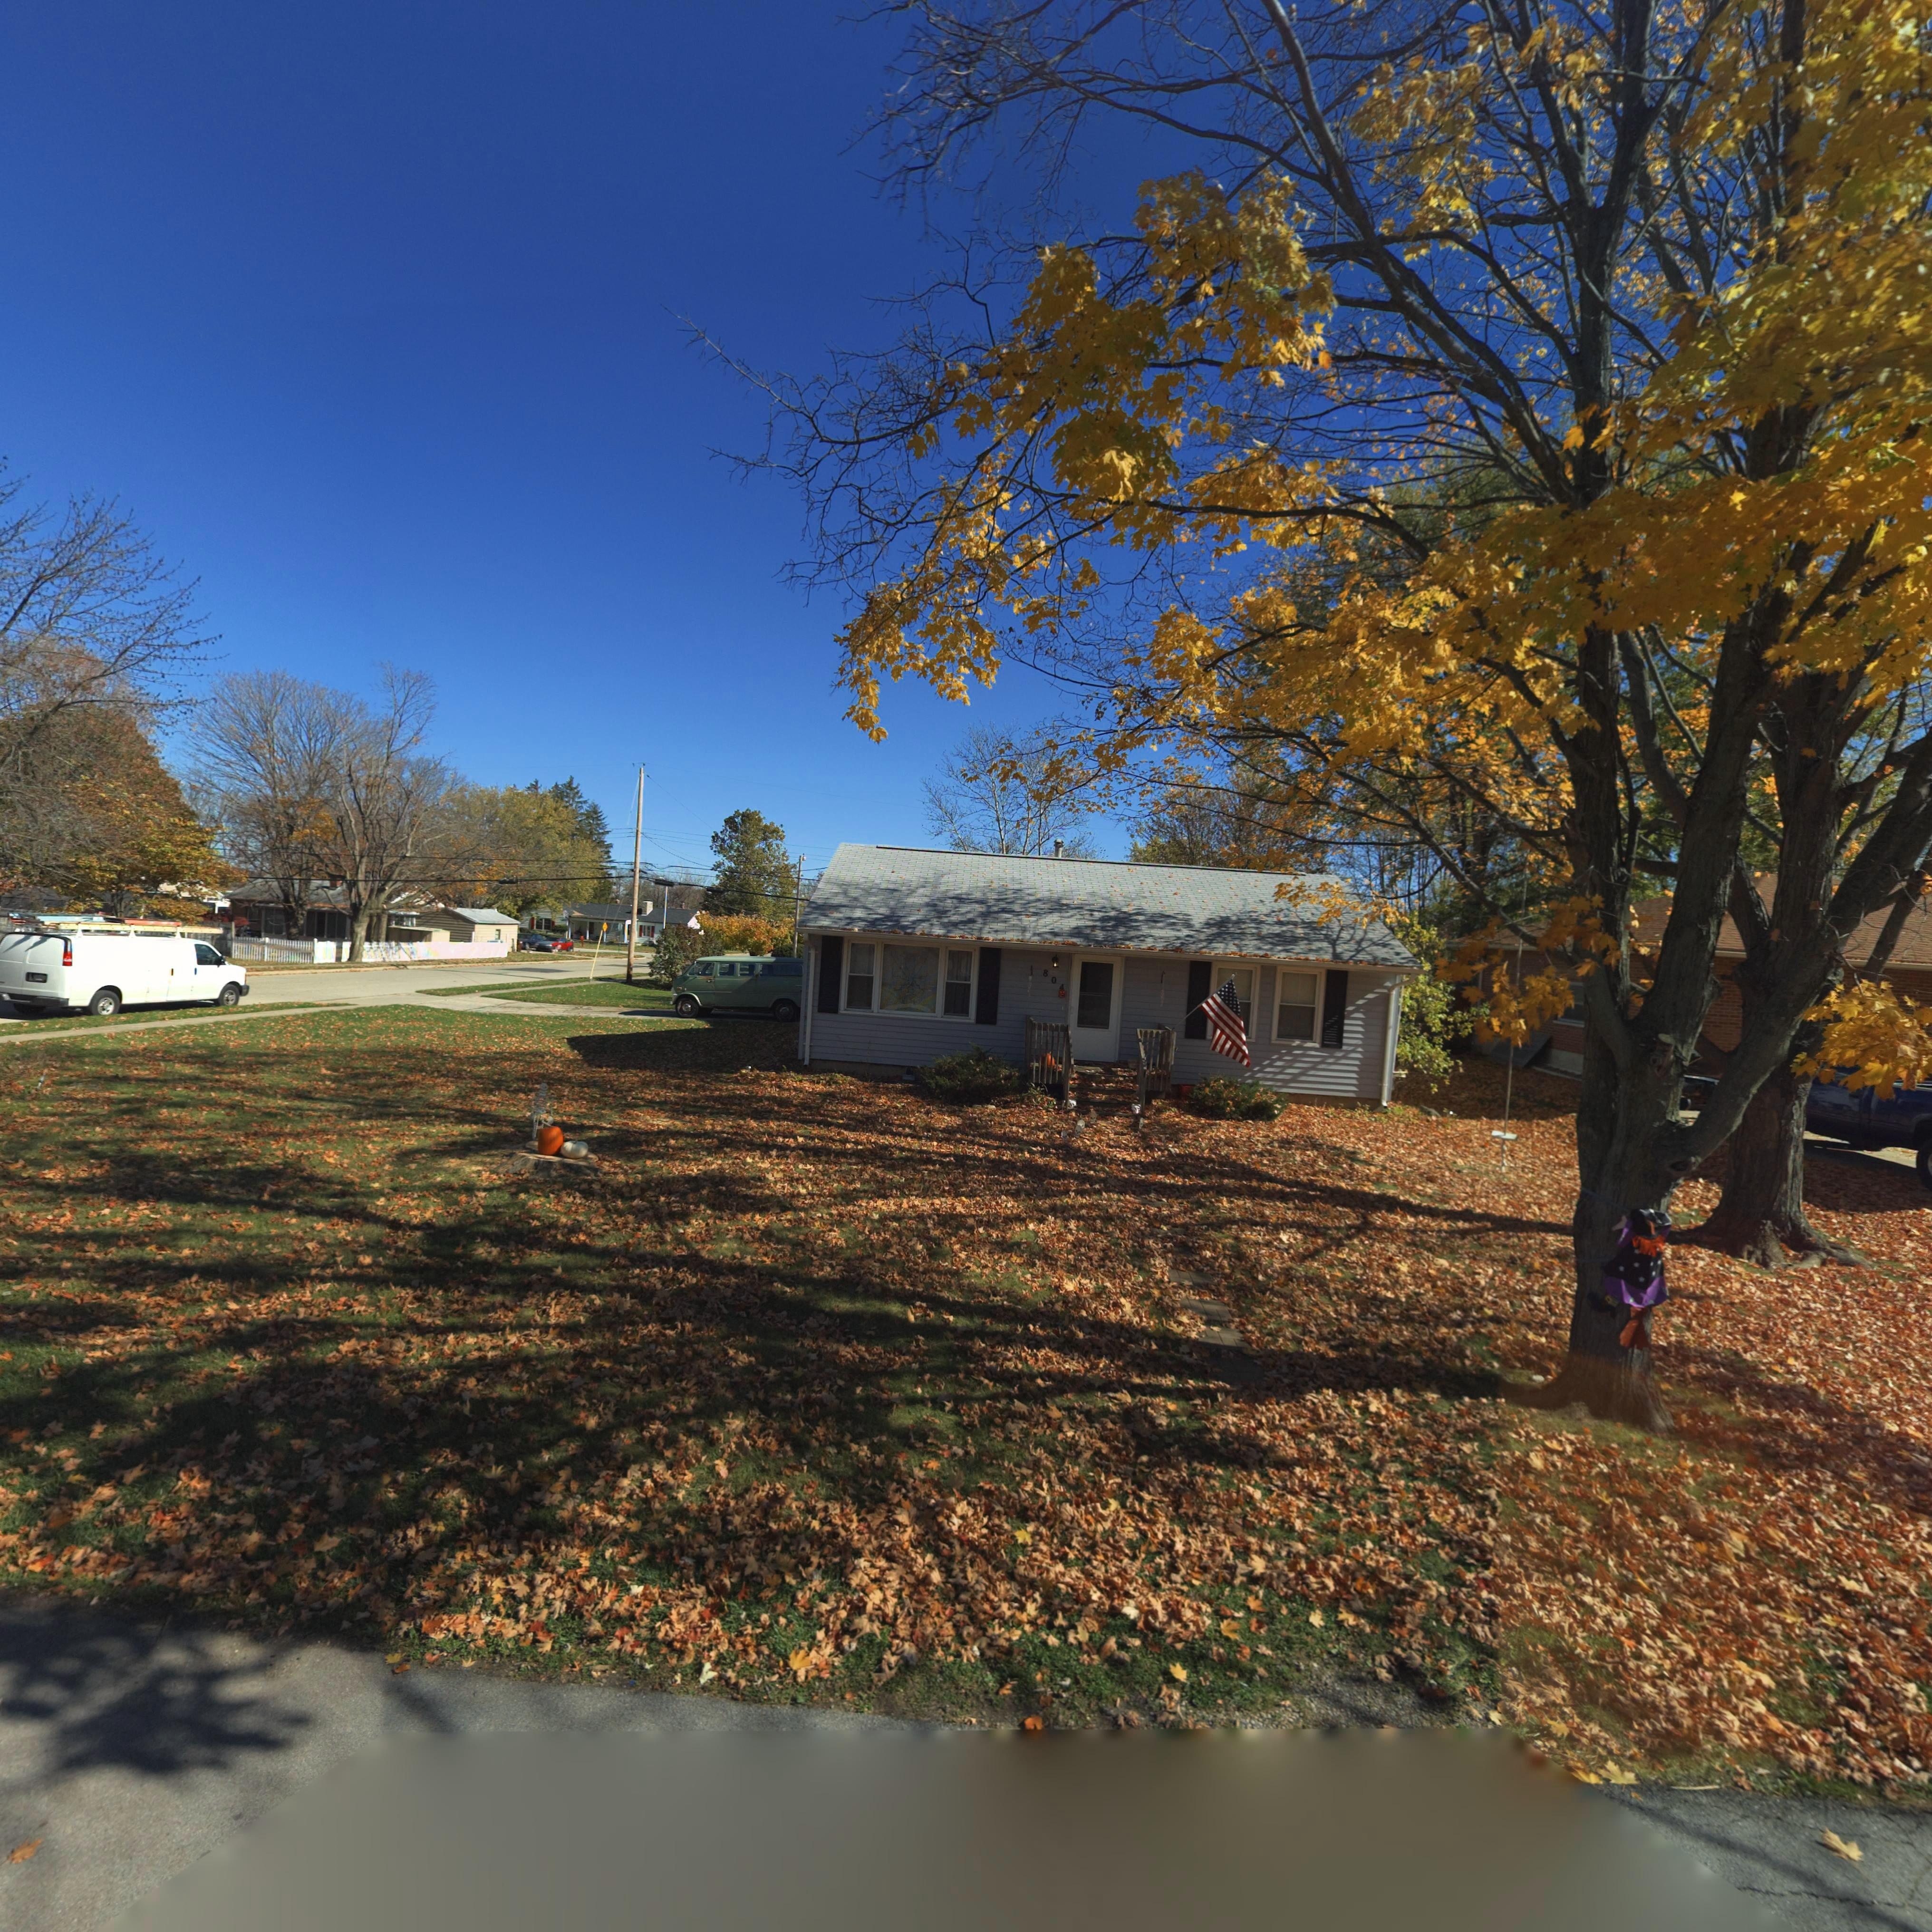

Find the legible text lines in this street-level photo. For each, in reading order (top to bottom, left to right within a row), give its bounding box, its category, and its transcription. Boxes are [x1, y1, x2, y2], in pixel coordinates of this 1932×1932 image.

[1042, 969, 1065, 992] StreetNumber: 804